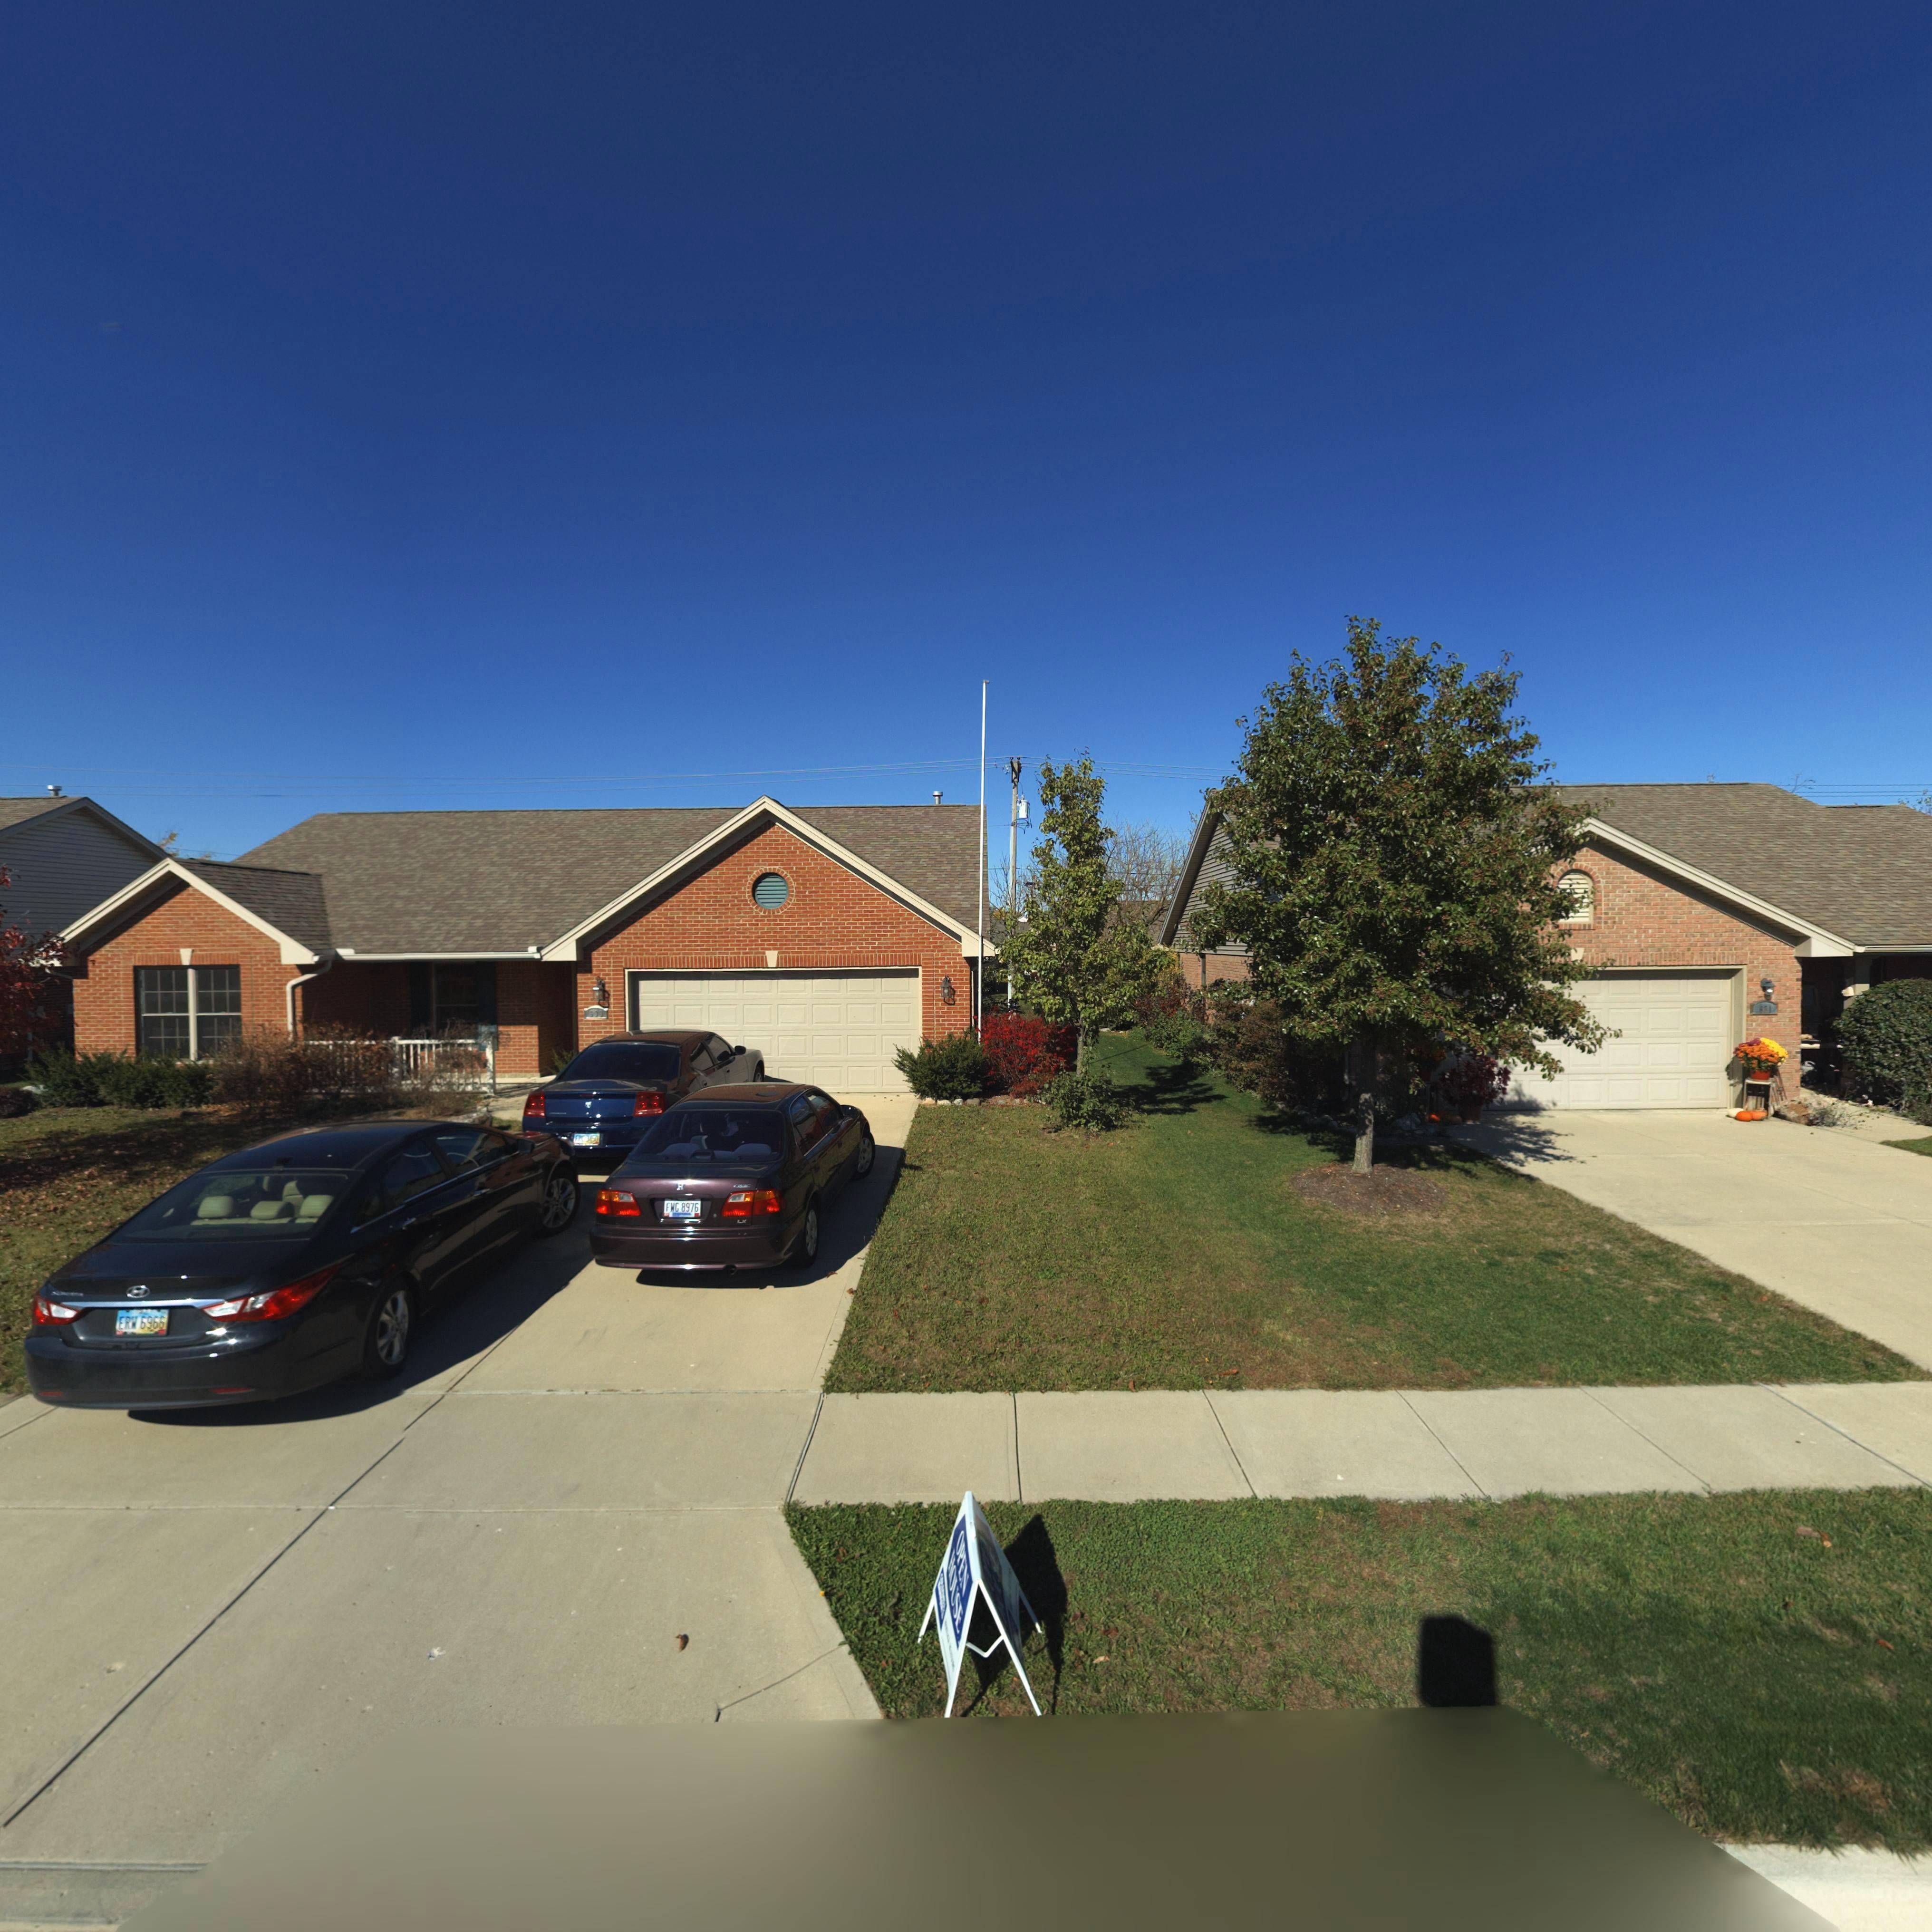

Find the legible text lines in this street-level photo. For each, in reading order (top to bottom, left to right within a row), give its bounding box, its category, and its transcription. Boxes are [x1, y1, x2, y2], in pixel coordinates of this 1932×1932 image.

[588, 1009, 603, 1018] StreetNumber: 6**
[1758, 1004, 1773, 1015] StreetNumber: 6*1
[665, 1201, 700, 1213] None: FWG*8976
[736, 1219, 748, 1224] None: LX
[116, 1314, 167, 1331] None: ERW*6966
[955, 1528, 971, 1600] None: OPEN
[947, 1545, 965, 1637] None: HOUSE